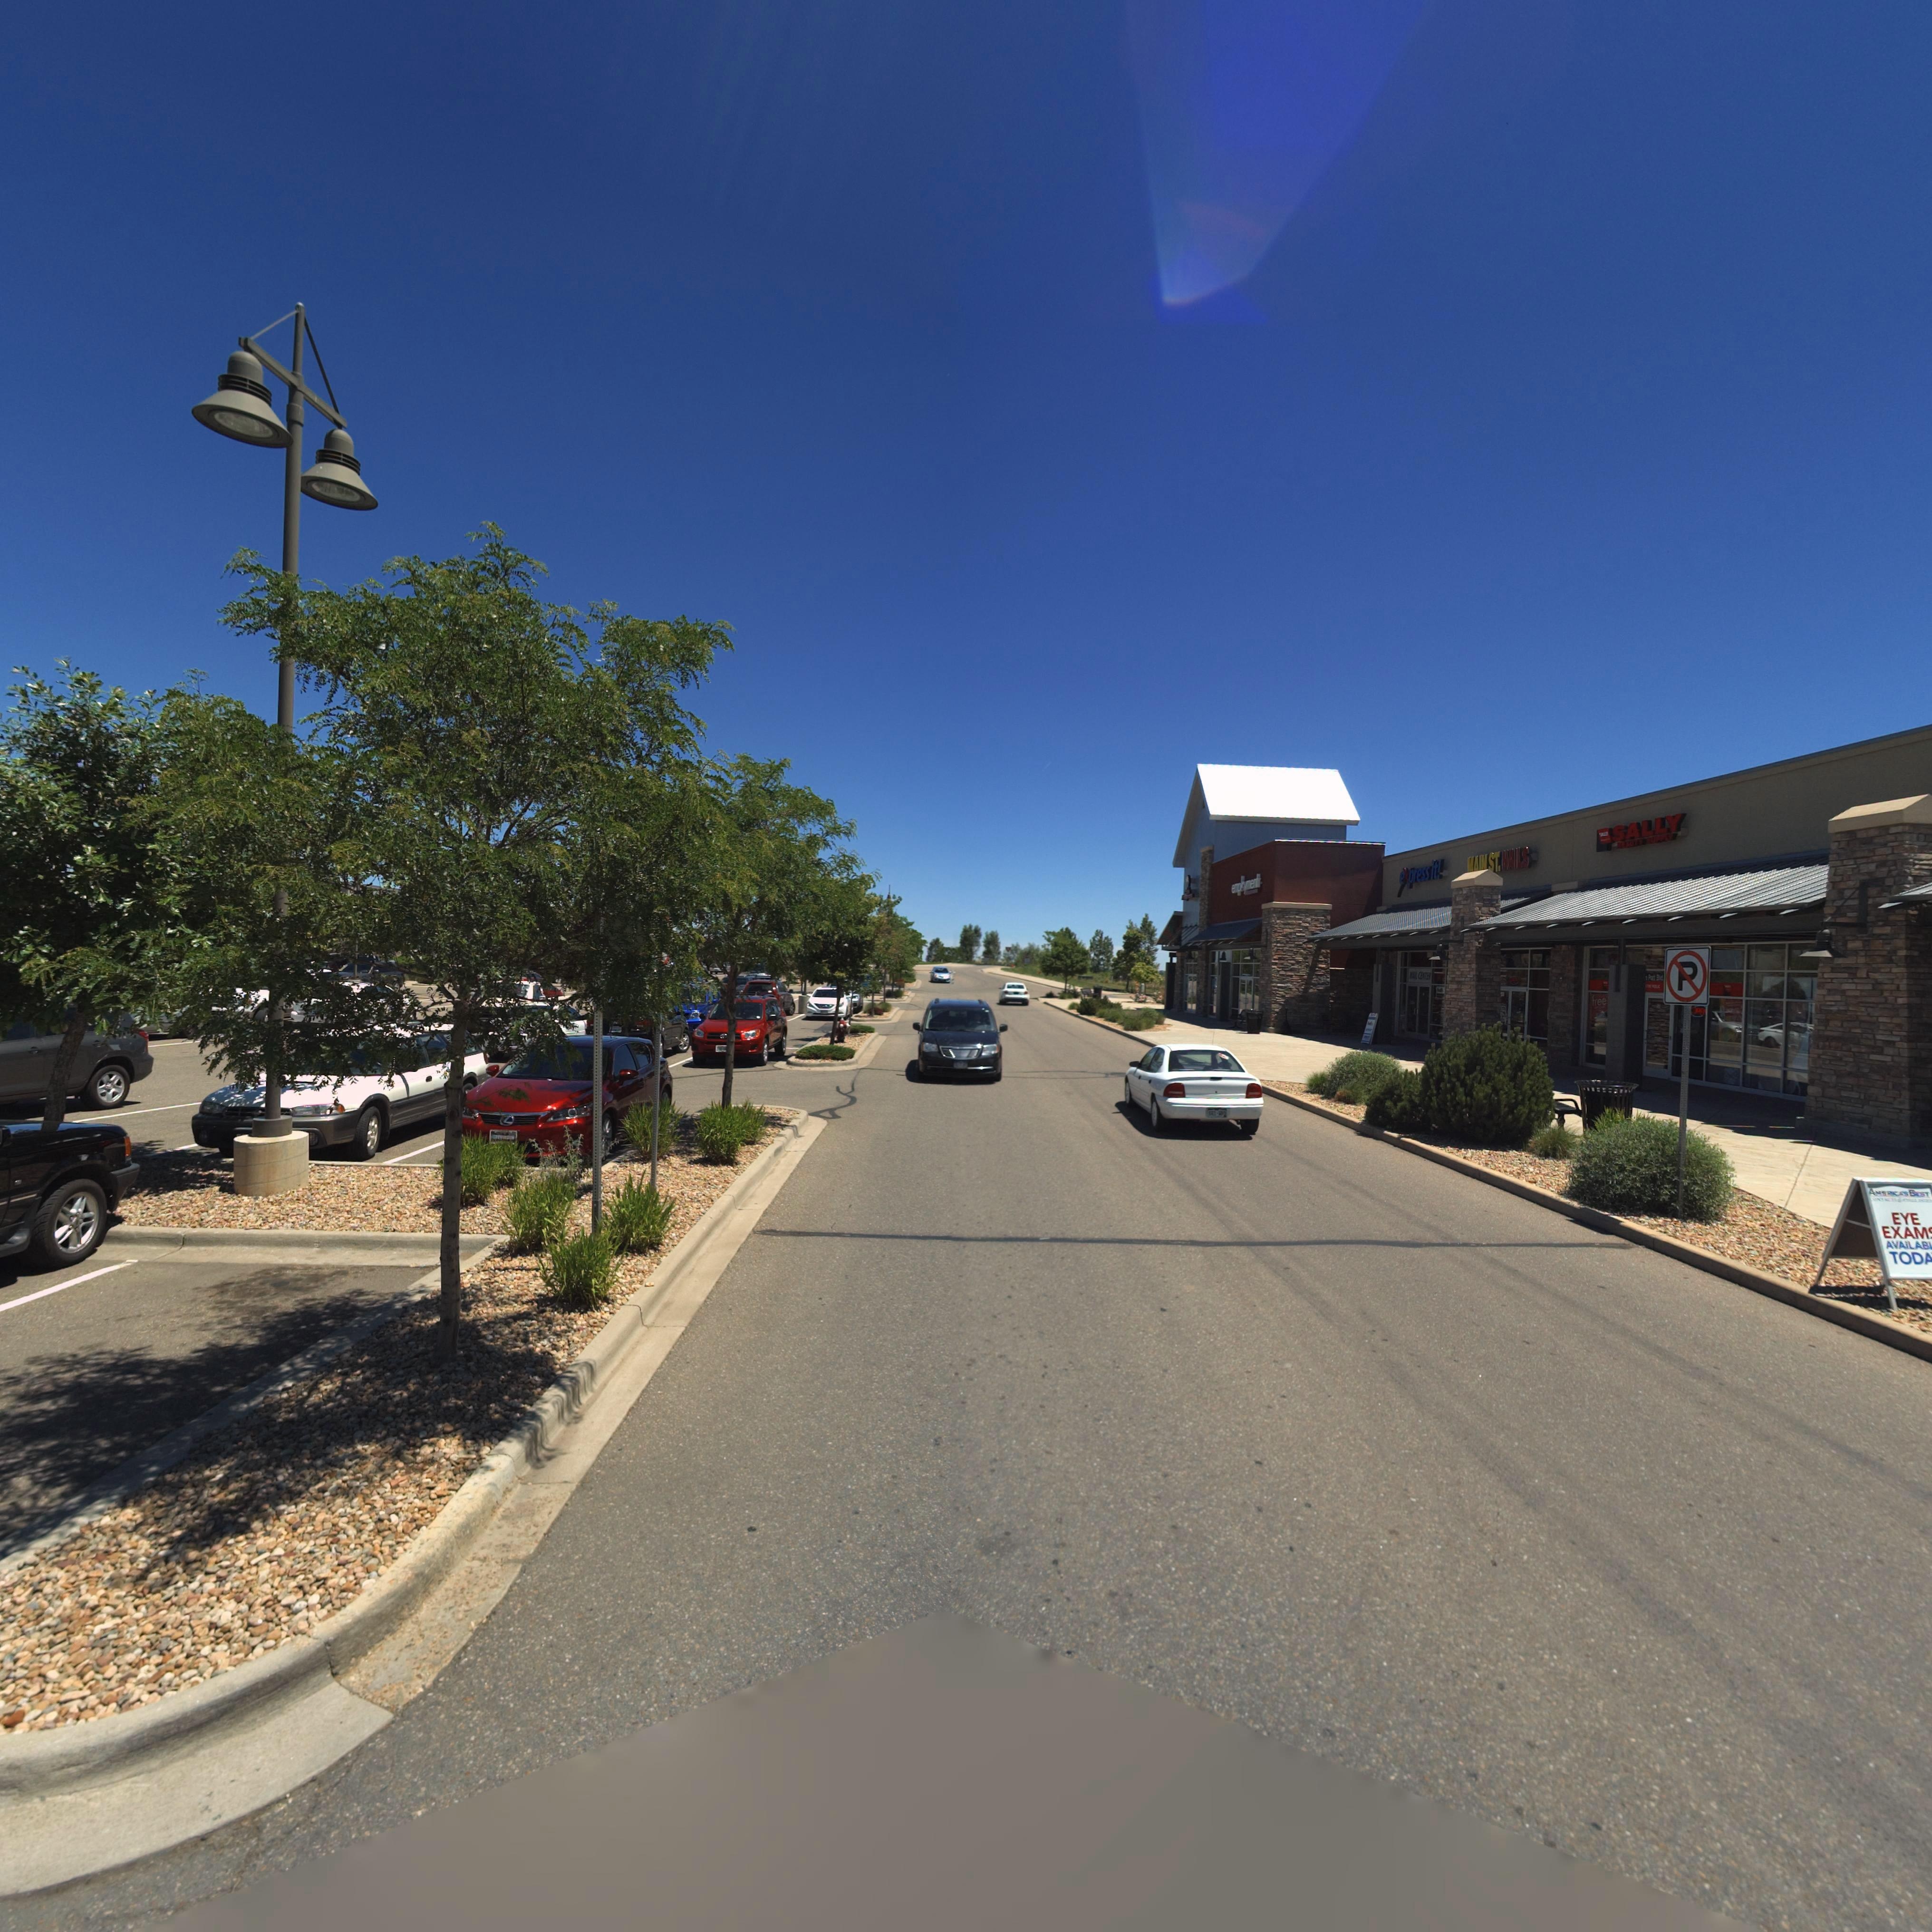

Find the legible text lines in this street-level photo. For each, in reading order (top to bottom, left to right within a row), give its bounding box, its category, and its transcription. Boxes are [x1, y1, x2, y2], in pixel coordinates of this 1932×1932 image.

[1611, 811, 1685, 842] BusinessName: SALLY
[1616, 832, 1675, 850] BusinessName: BEAUTY SUPPLY
[1466, 845, 1529, 872] BusinessName: MAIN ST. NAILS
[1230, 872, 1261, 897] BusinessName: employment
[1398, 857, 1444, 889] BusinessName: express it!
[1648, 973, 1664, 981] StreetName: Pratt Blvd.